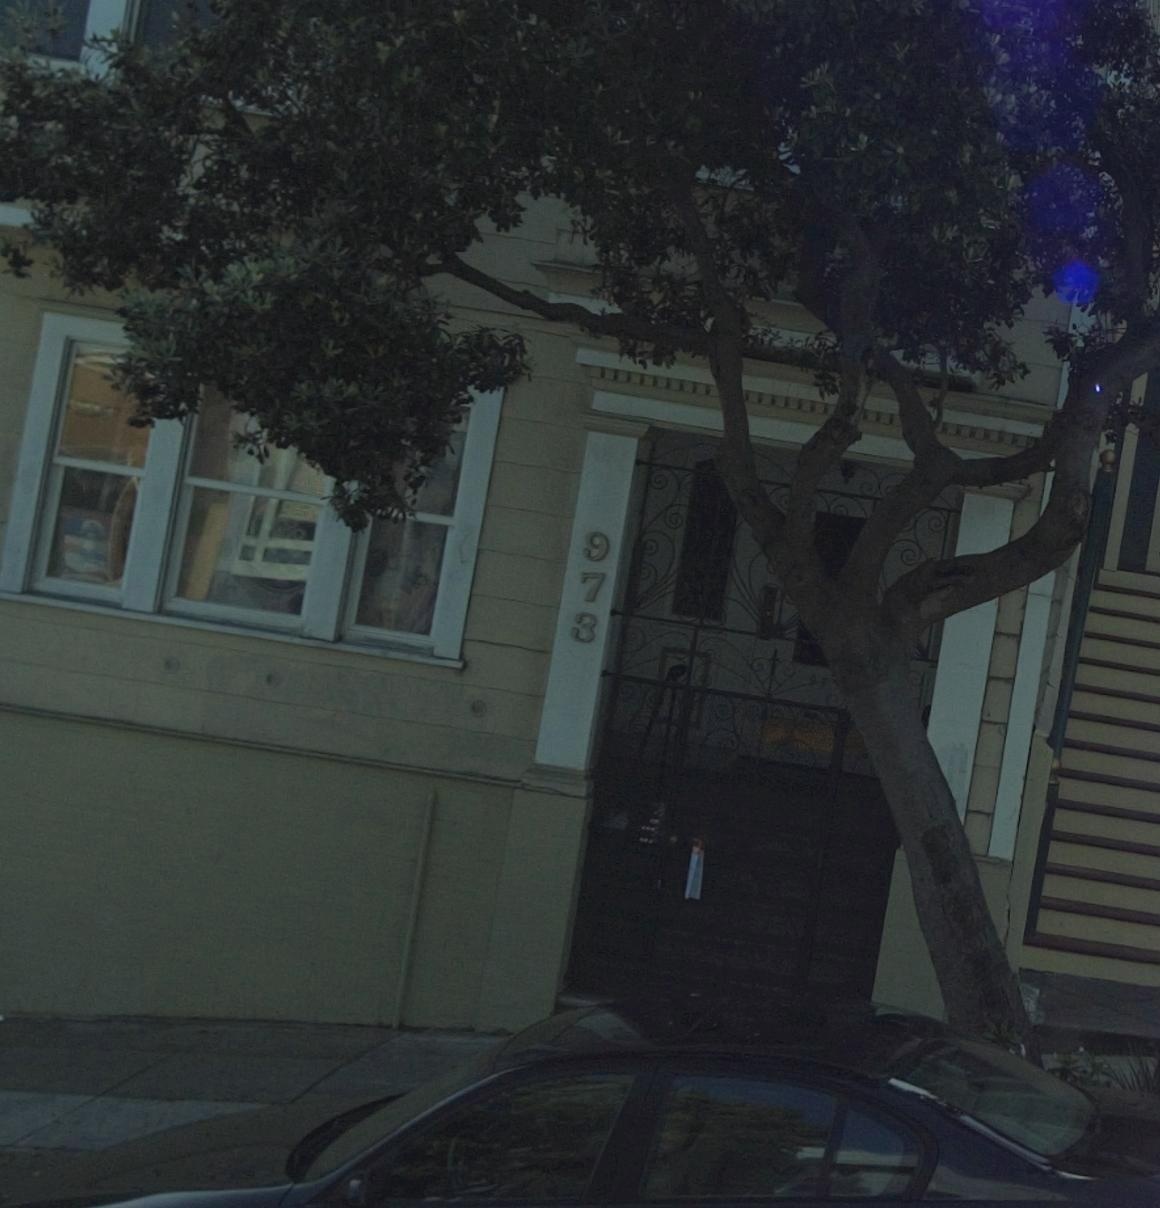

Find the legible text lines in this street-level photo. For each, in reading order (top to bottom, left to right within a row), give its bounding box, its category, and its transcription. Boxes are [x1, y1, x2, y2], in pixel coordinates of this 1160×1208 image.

[566, 526, 615, 648] StreetNumber: 973